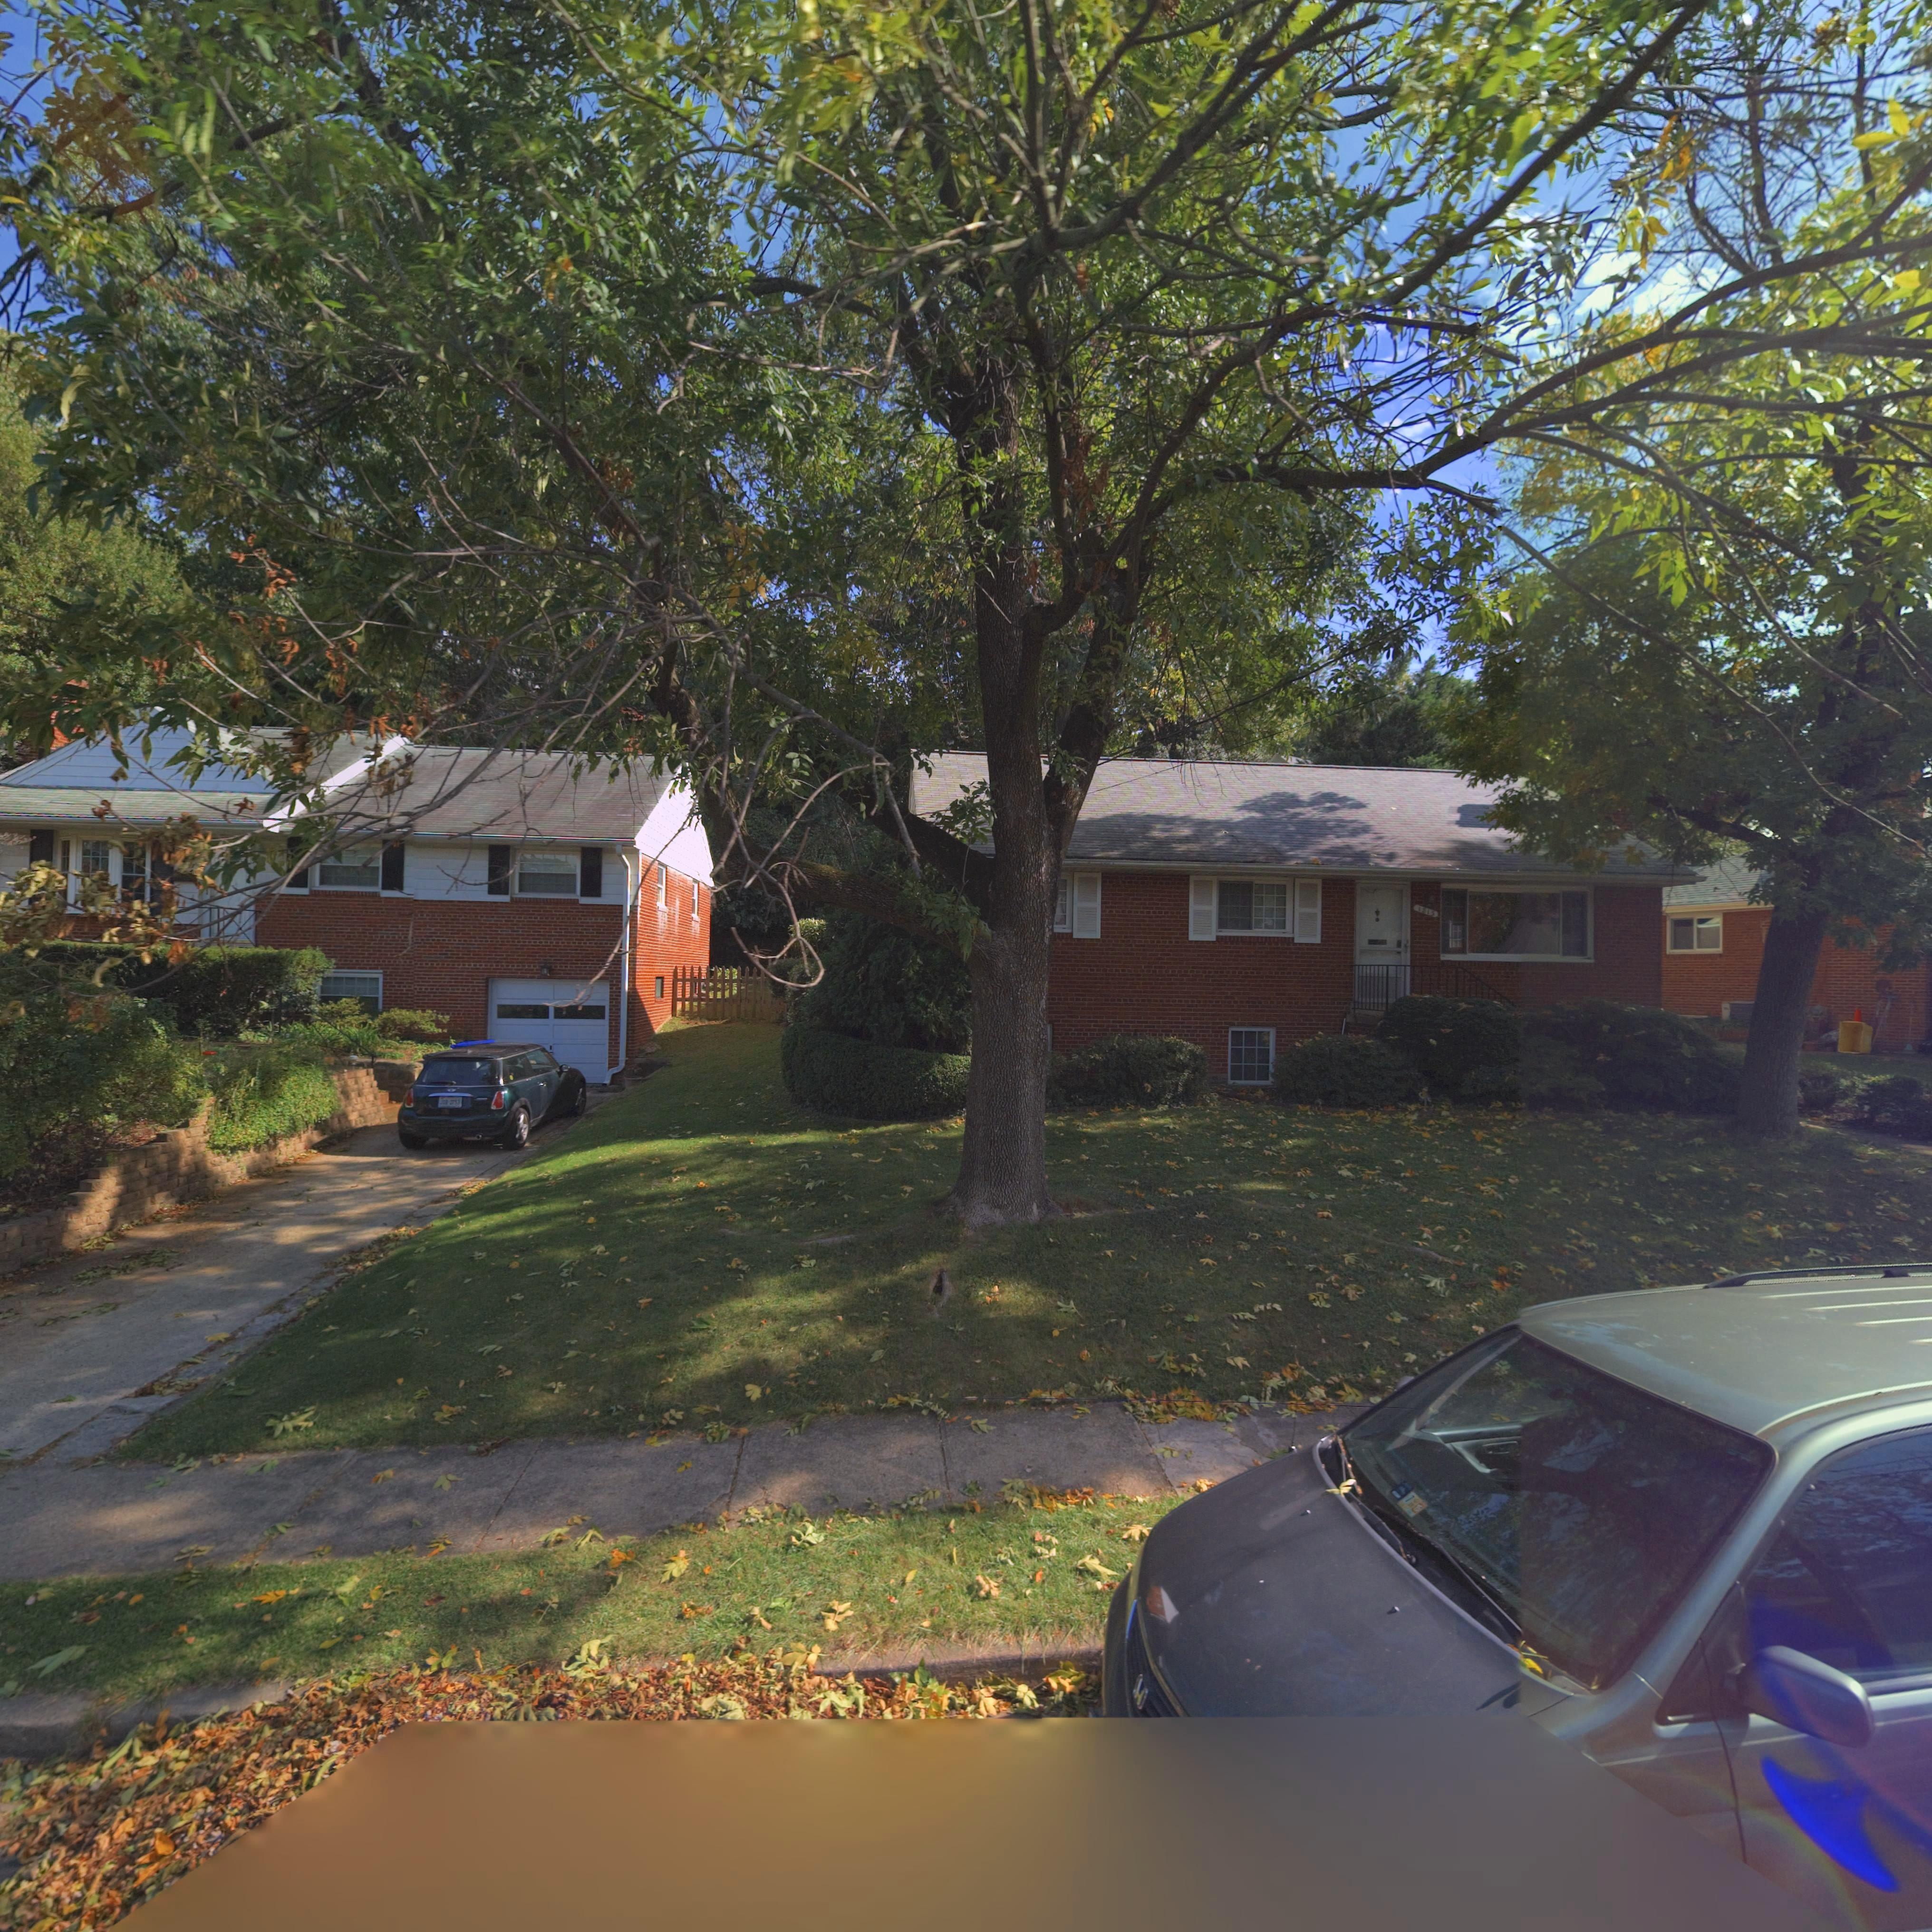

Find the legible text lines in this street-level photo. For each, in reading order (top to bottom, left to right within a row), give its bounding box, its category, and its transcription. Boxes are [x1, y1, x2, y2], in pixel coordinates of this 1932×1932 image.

[1418, 905, 1435, 917] StreetNumber: 1815
[440, 1099, 460, 1105] None: 368-2753